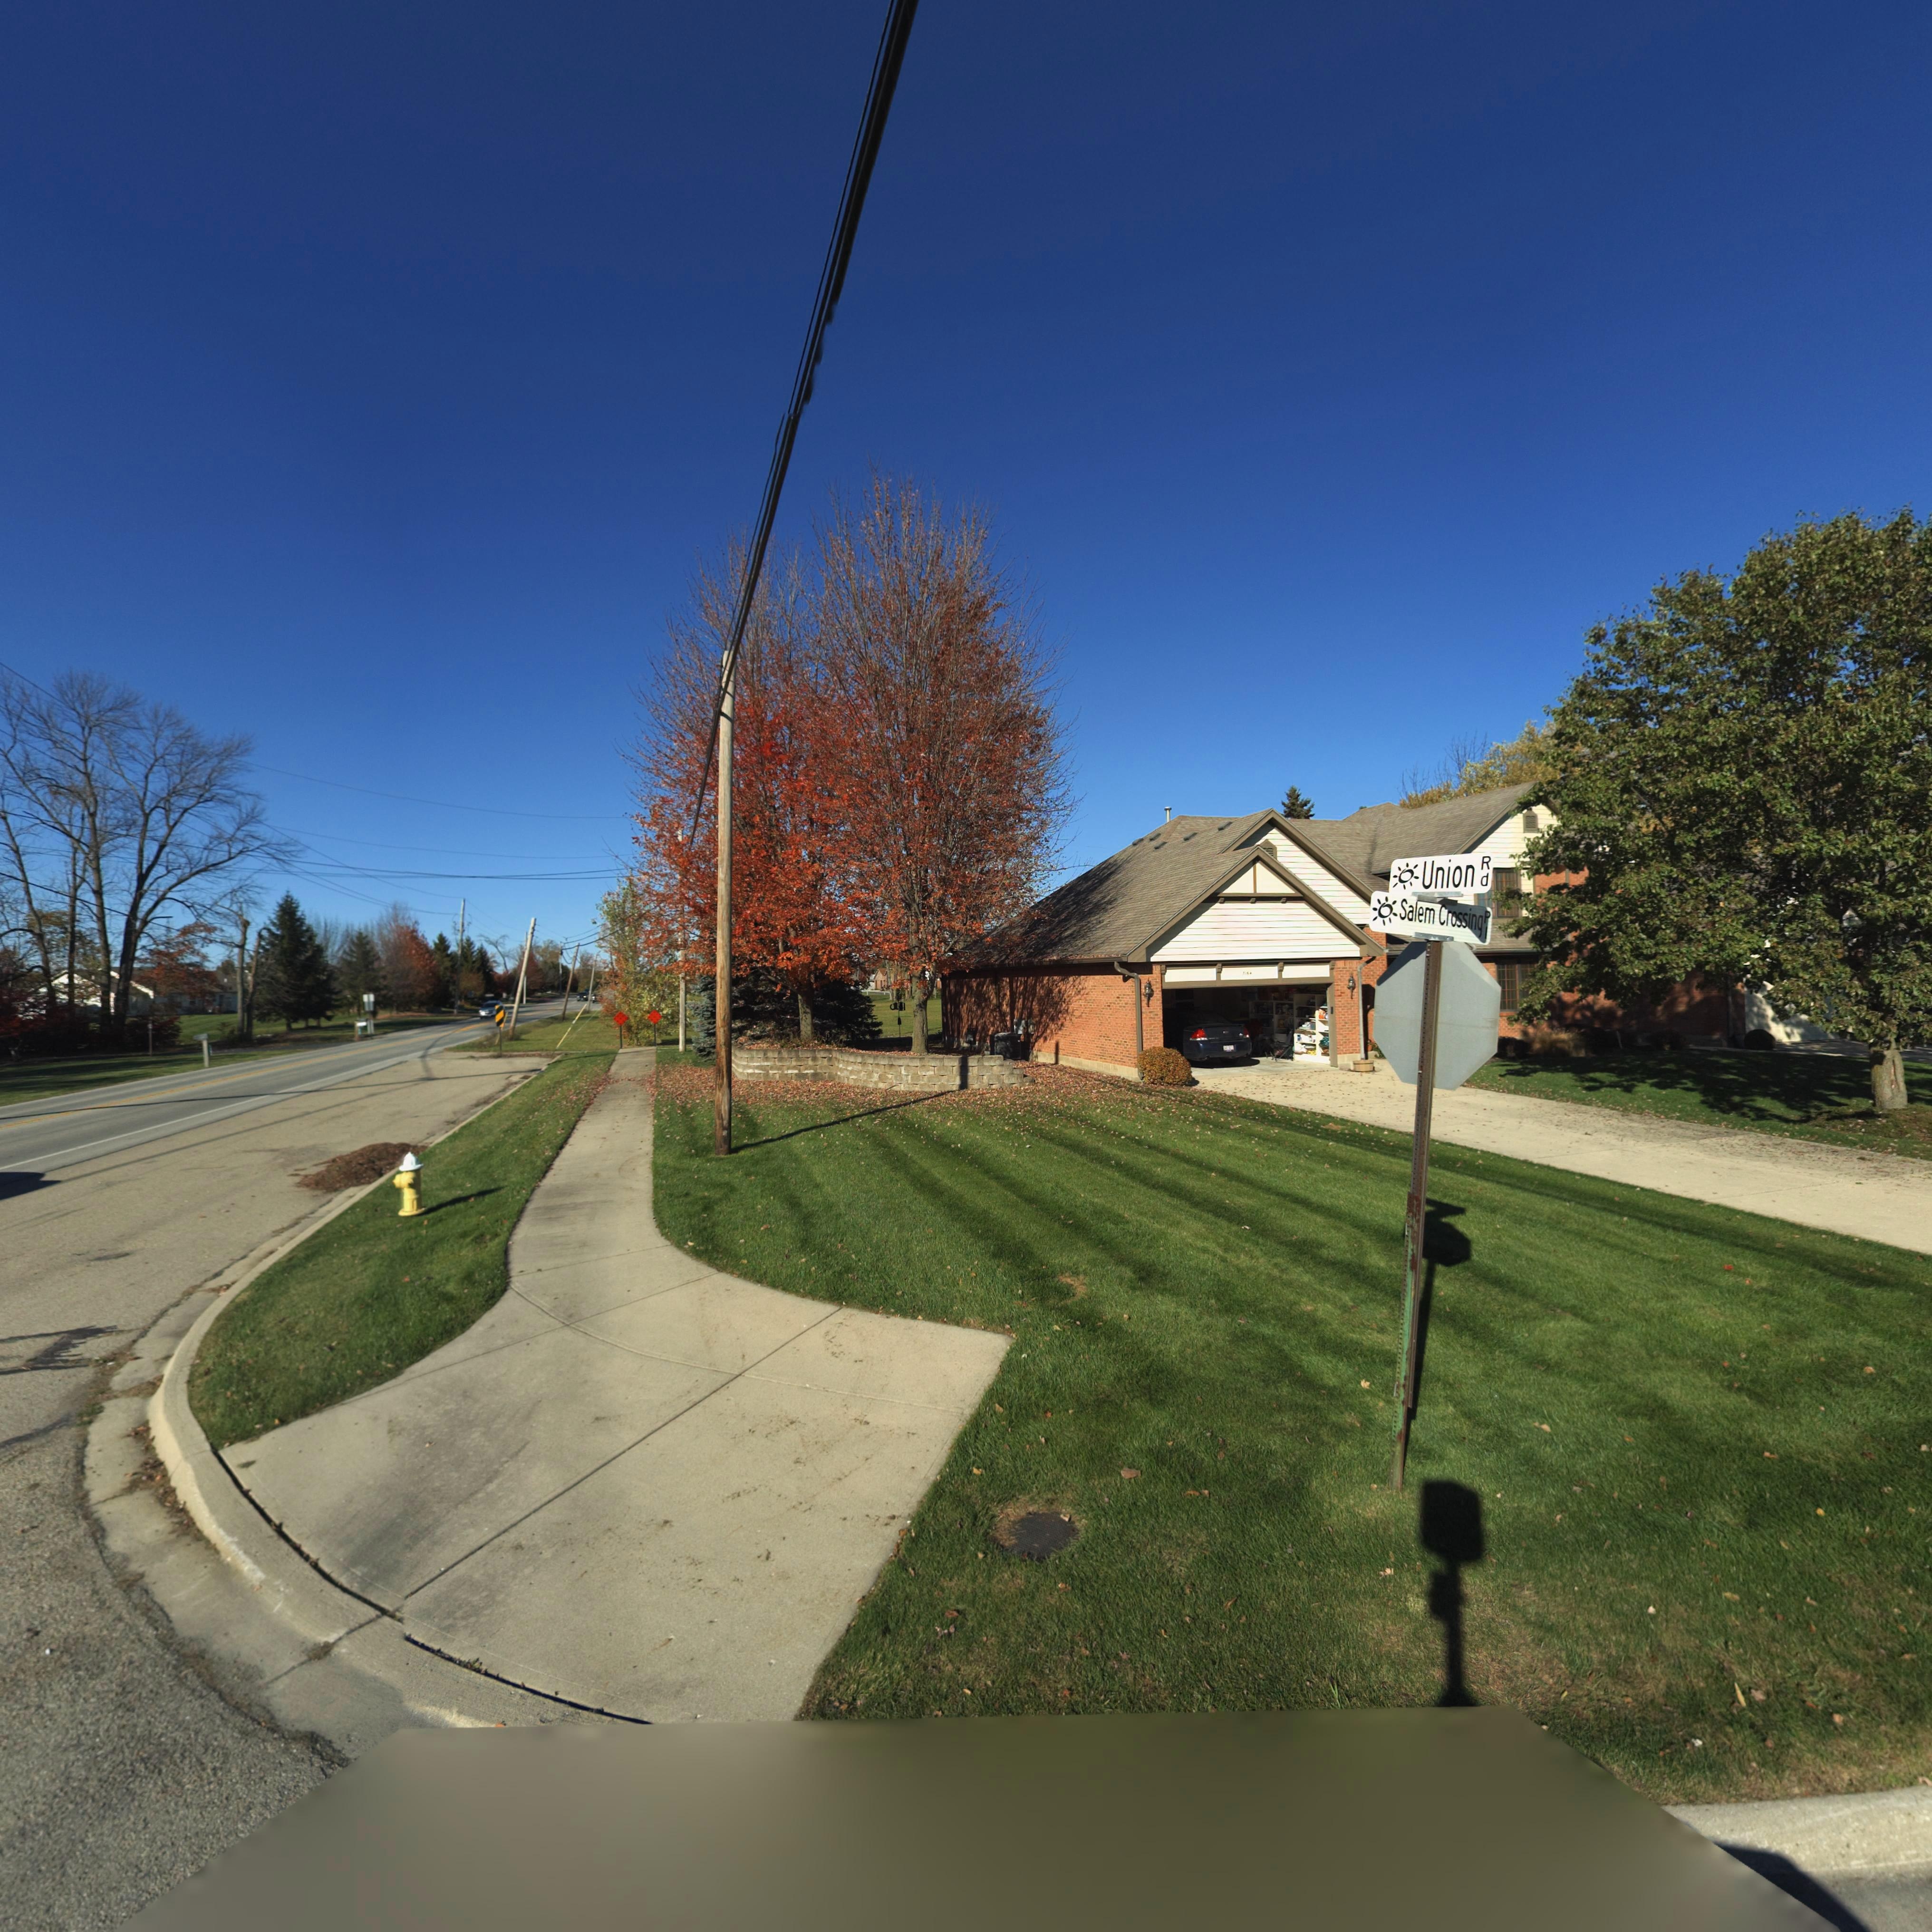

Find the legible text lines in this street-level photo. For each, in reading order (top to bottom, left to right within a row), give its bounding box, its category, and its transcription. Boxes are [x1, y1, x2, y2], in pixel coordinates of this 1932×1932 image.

[1242, 971, 1253, 976] StreetNumber: 716*